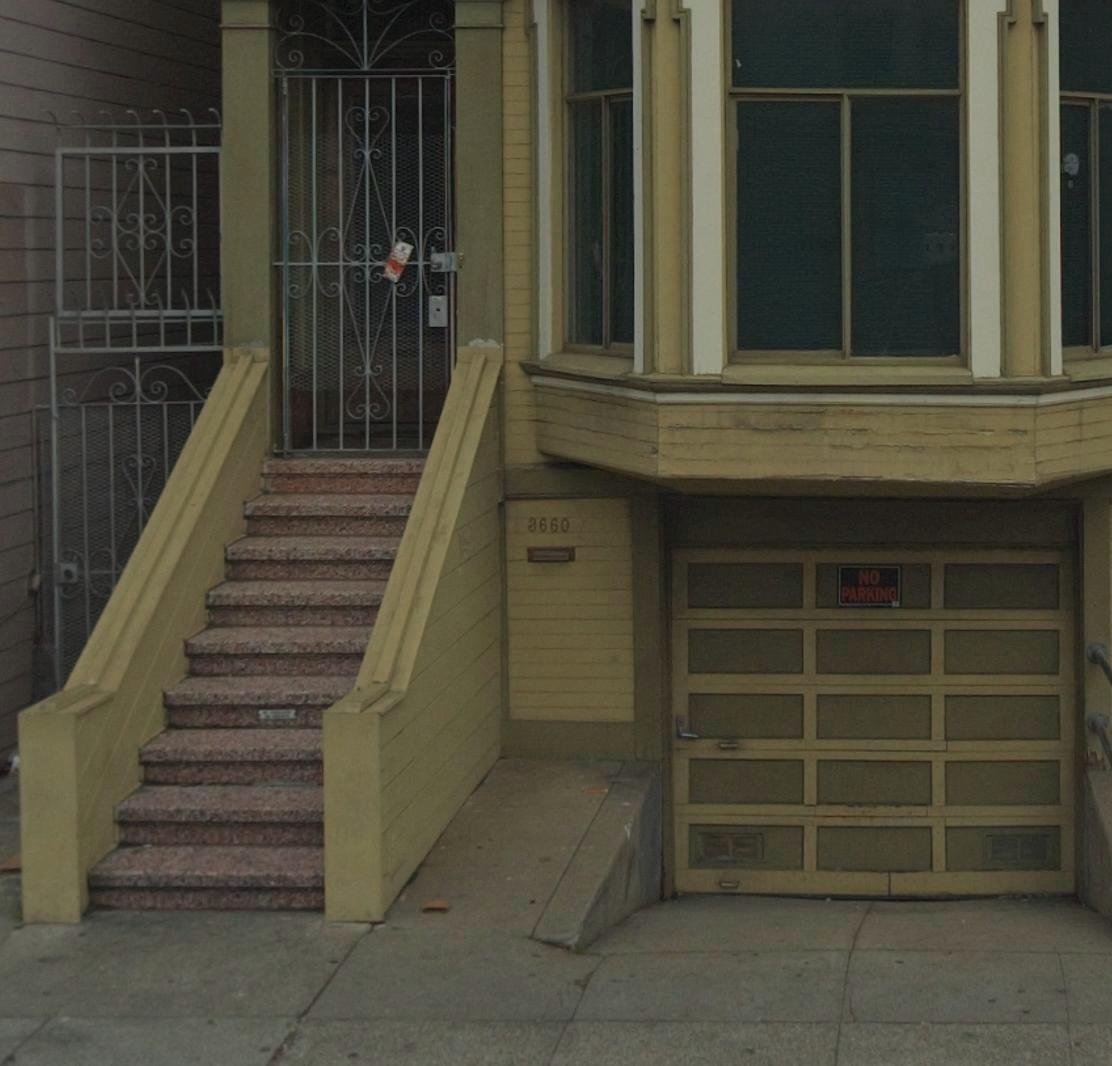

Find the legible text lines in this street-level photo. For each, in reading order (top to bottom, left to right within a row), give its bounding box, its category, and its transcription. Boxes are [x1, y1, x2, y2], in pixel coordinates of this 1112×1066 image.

[527, 516, 570, 533] StreetNumber: 3660
[857, 568, 879, 586] None: NO
[840, 586, 898, 602] None: PARKING